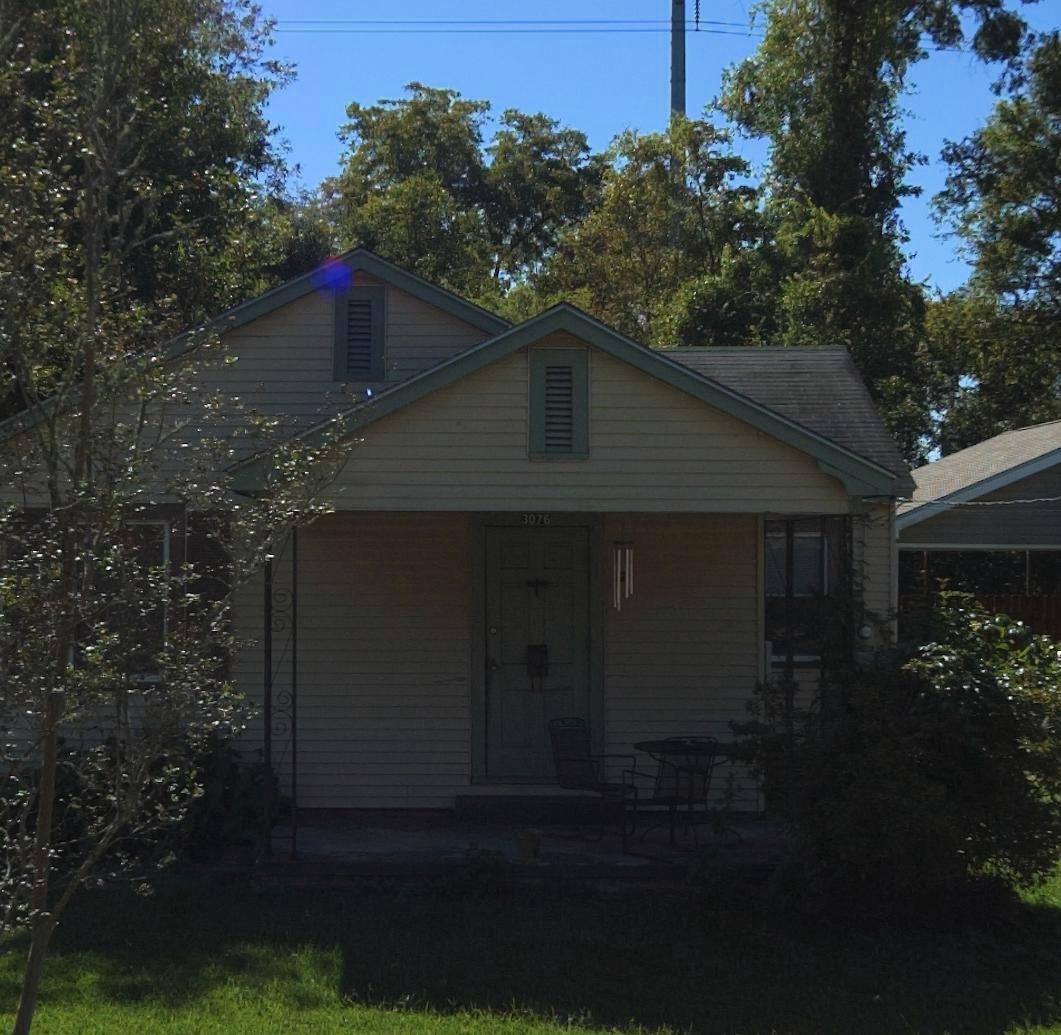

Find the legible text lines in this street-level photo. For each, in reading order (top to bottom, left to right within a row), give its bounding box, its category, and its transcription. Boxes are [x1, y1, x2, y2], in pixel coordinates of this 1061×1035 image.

[520, 512, 552, 527] StreetNumber: 3076